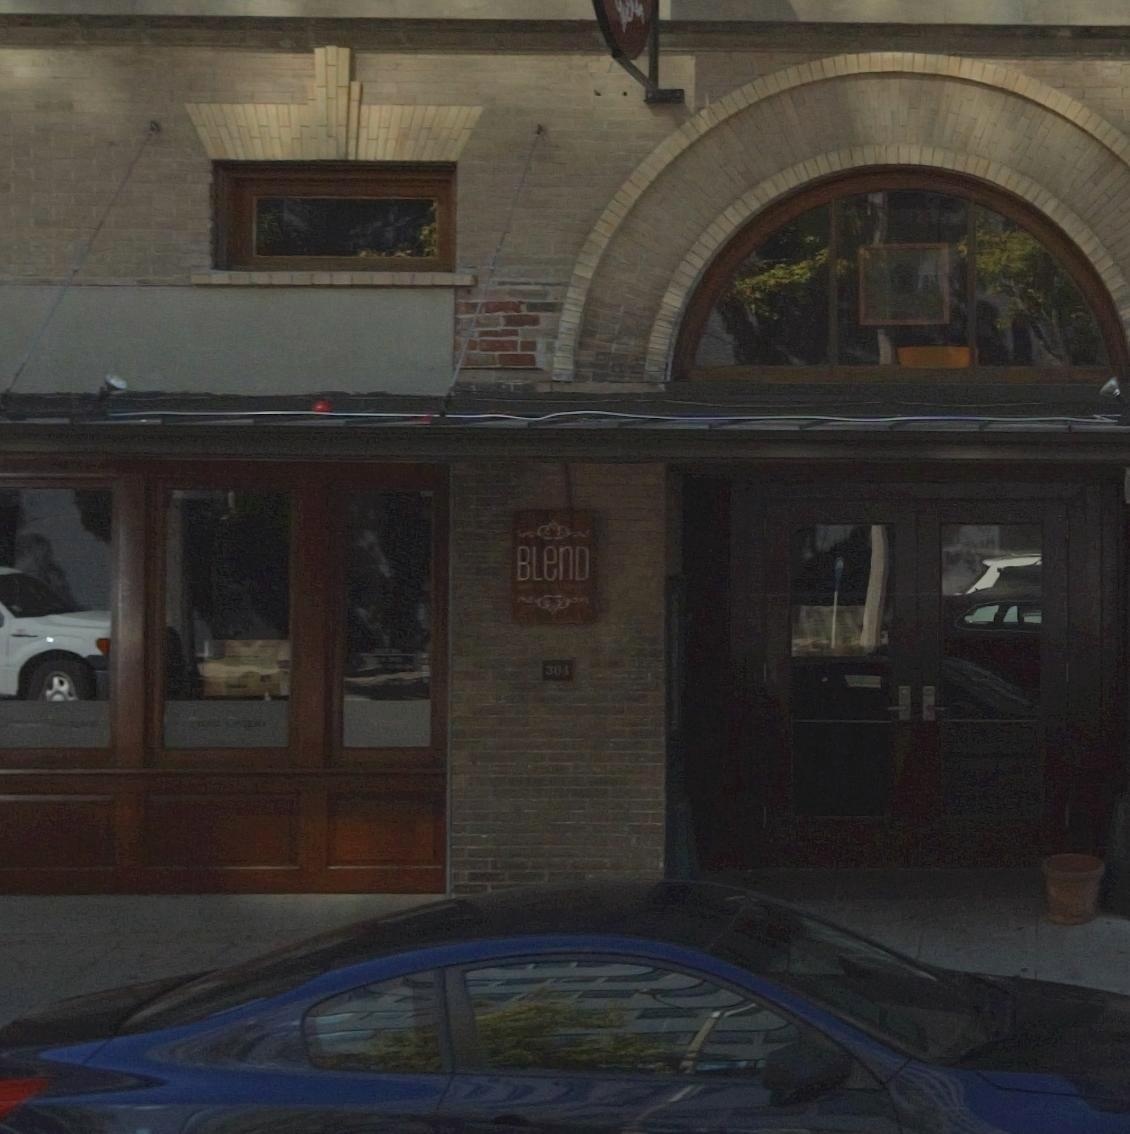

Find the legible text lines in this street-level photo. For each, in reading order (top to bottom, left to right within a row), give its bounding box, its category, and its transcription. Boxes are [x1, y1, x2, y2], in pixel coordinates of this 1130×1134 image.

[513, 543, 592, 585] BusinessName: BLenD
[543, 663, 573, 679] StreetNumber: 304